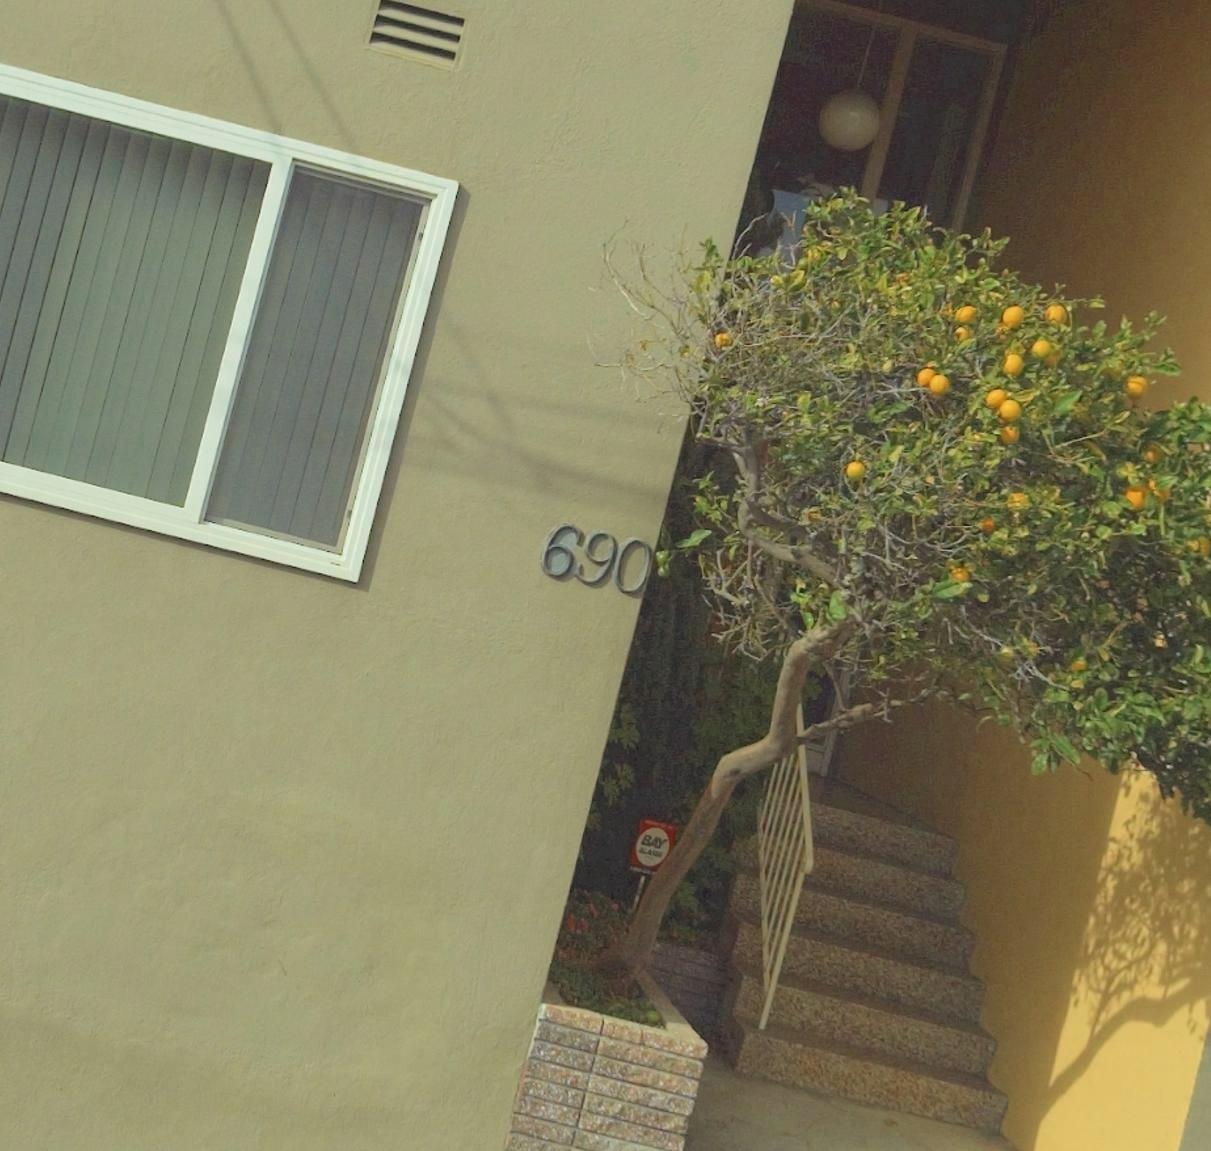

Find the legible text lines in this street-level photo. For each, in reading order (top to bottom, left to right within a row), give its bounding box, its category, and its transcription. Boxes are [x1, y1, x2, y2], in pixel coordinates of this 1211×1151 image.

[530, 519, 659, 599] StreetNumber: 690
[639, 833, 670, 850] None: BAY
[636, 846, 666, 858] None: ALARM